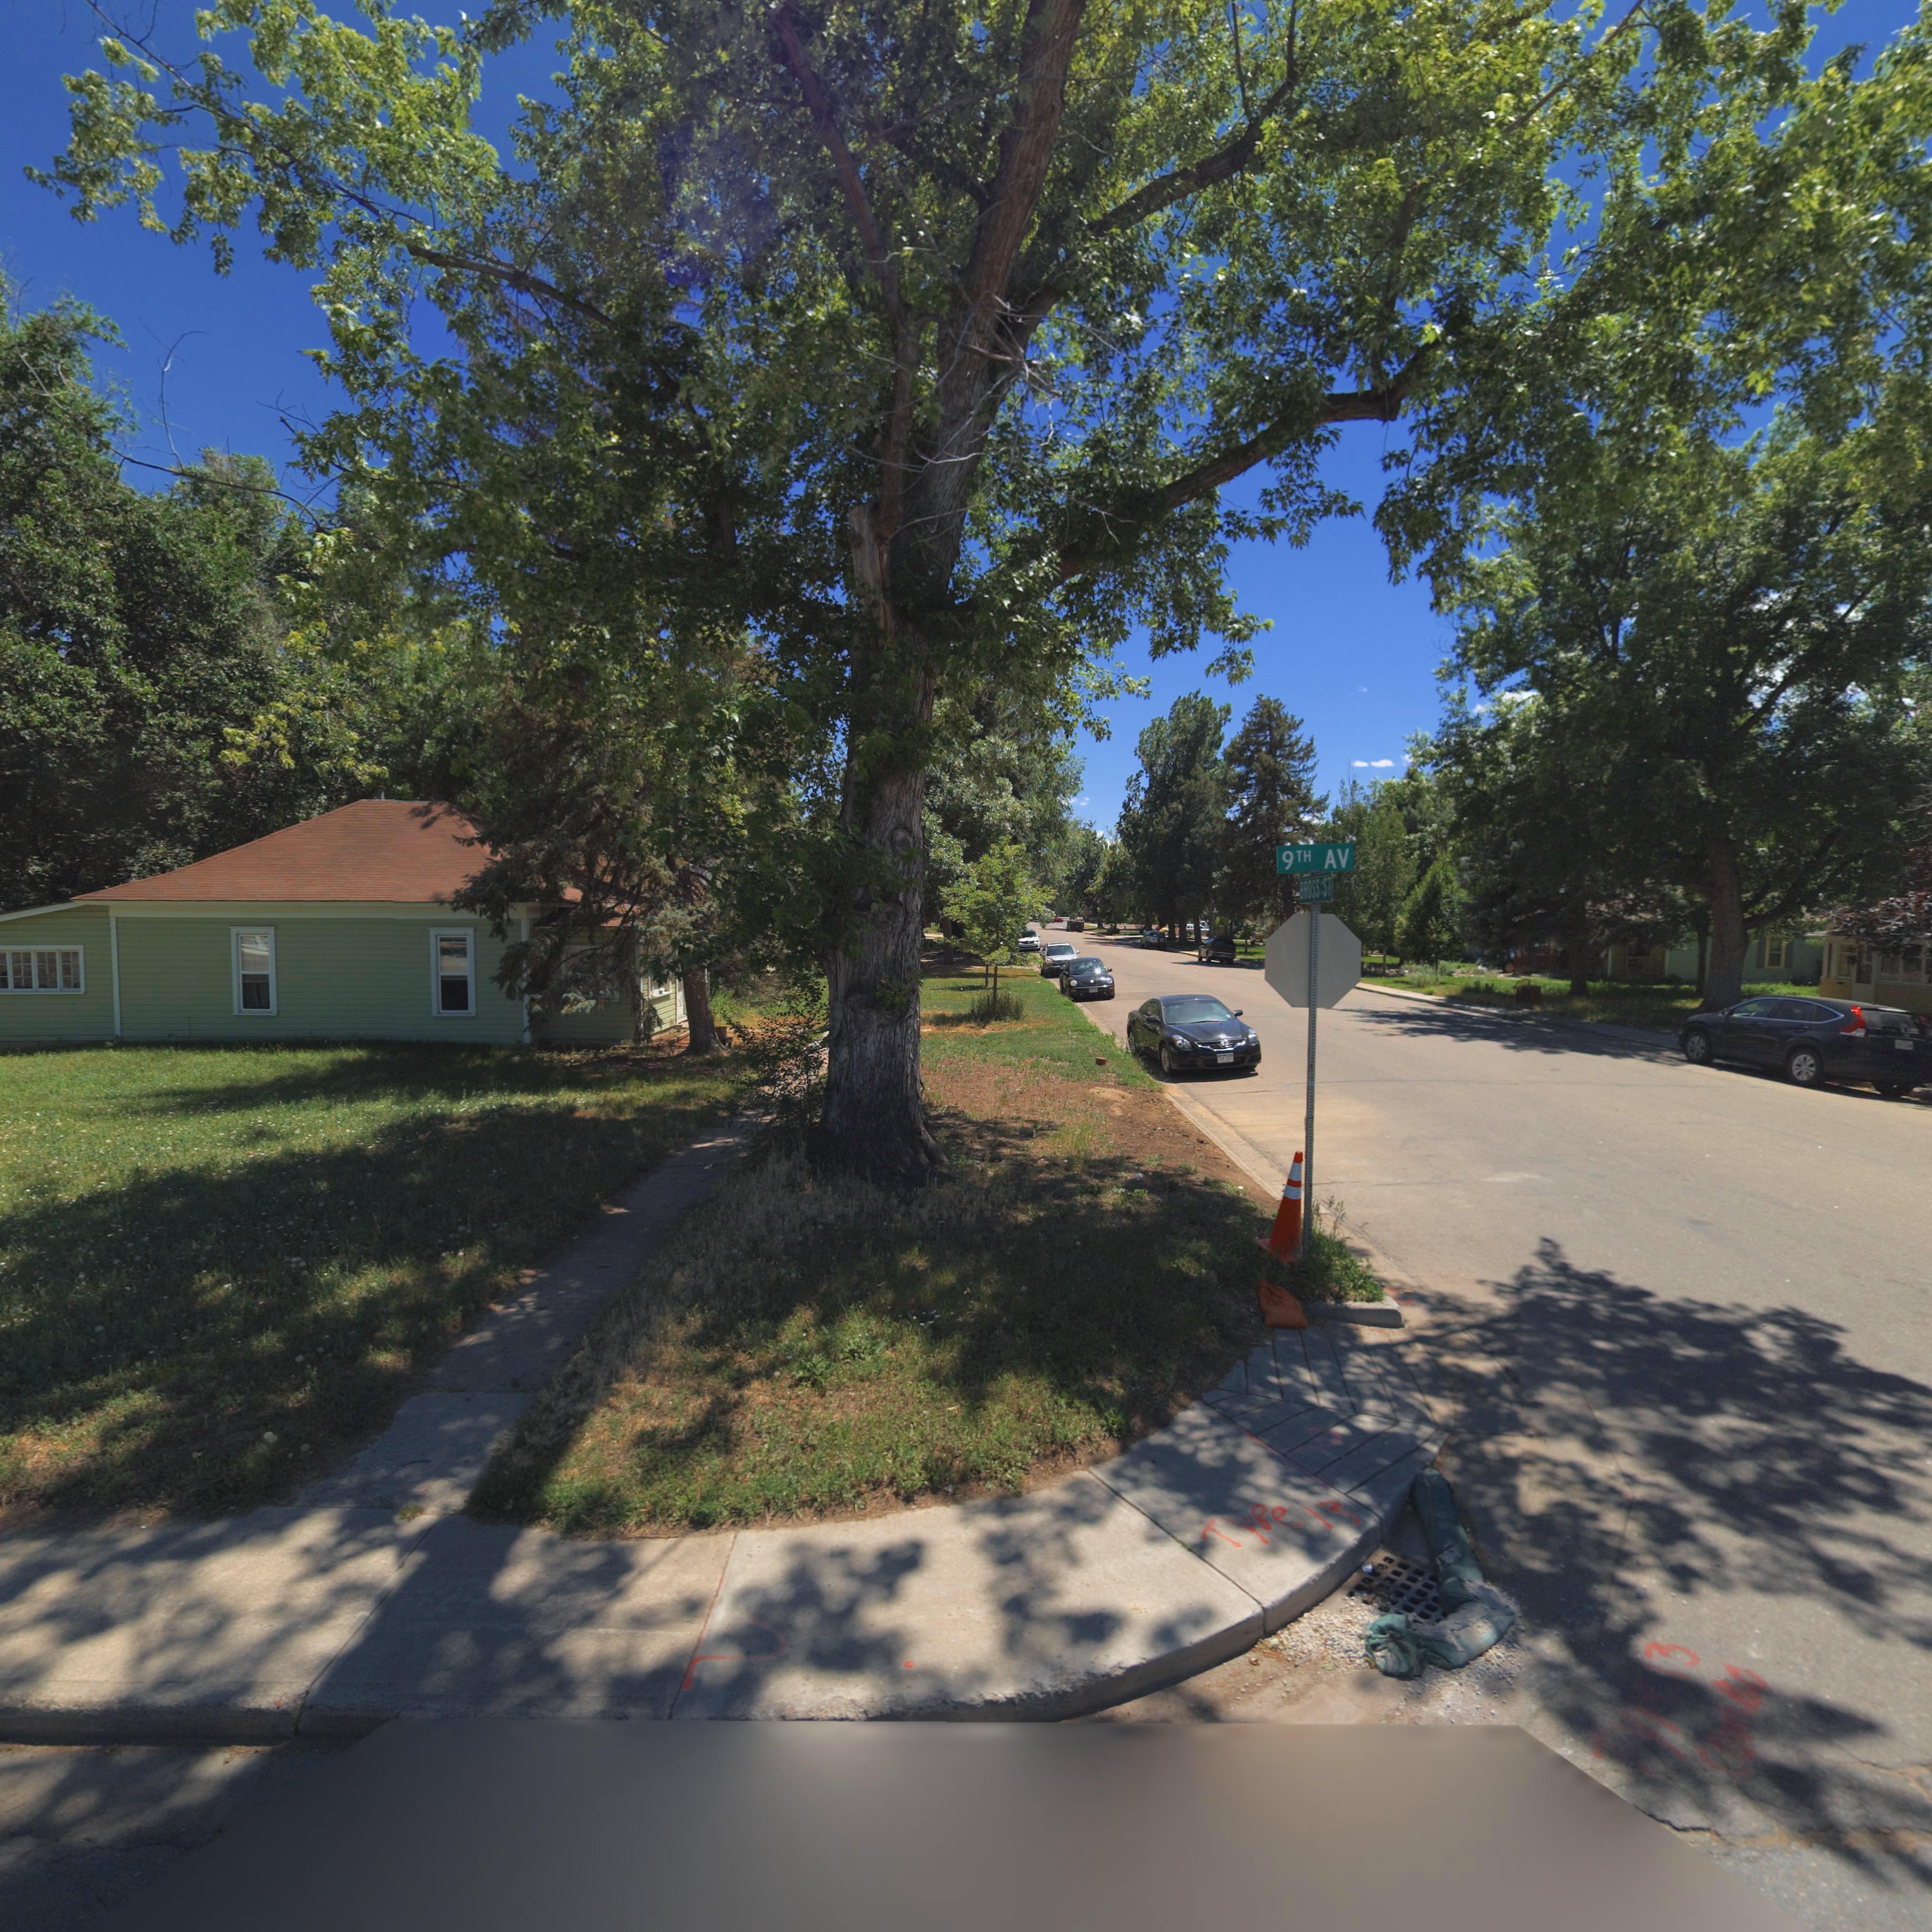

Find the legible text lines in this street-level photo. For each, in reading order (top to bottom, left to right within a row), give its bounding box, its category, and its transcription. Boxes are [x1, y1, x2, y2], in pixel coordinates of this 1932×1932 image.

[1281, 848, 1350, 870] StreetName: 9TH AV
[1299, 876, 1331, 899] StreetName: BROSS ST